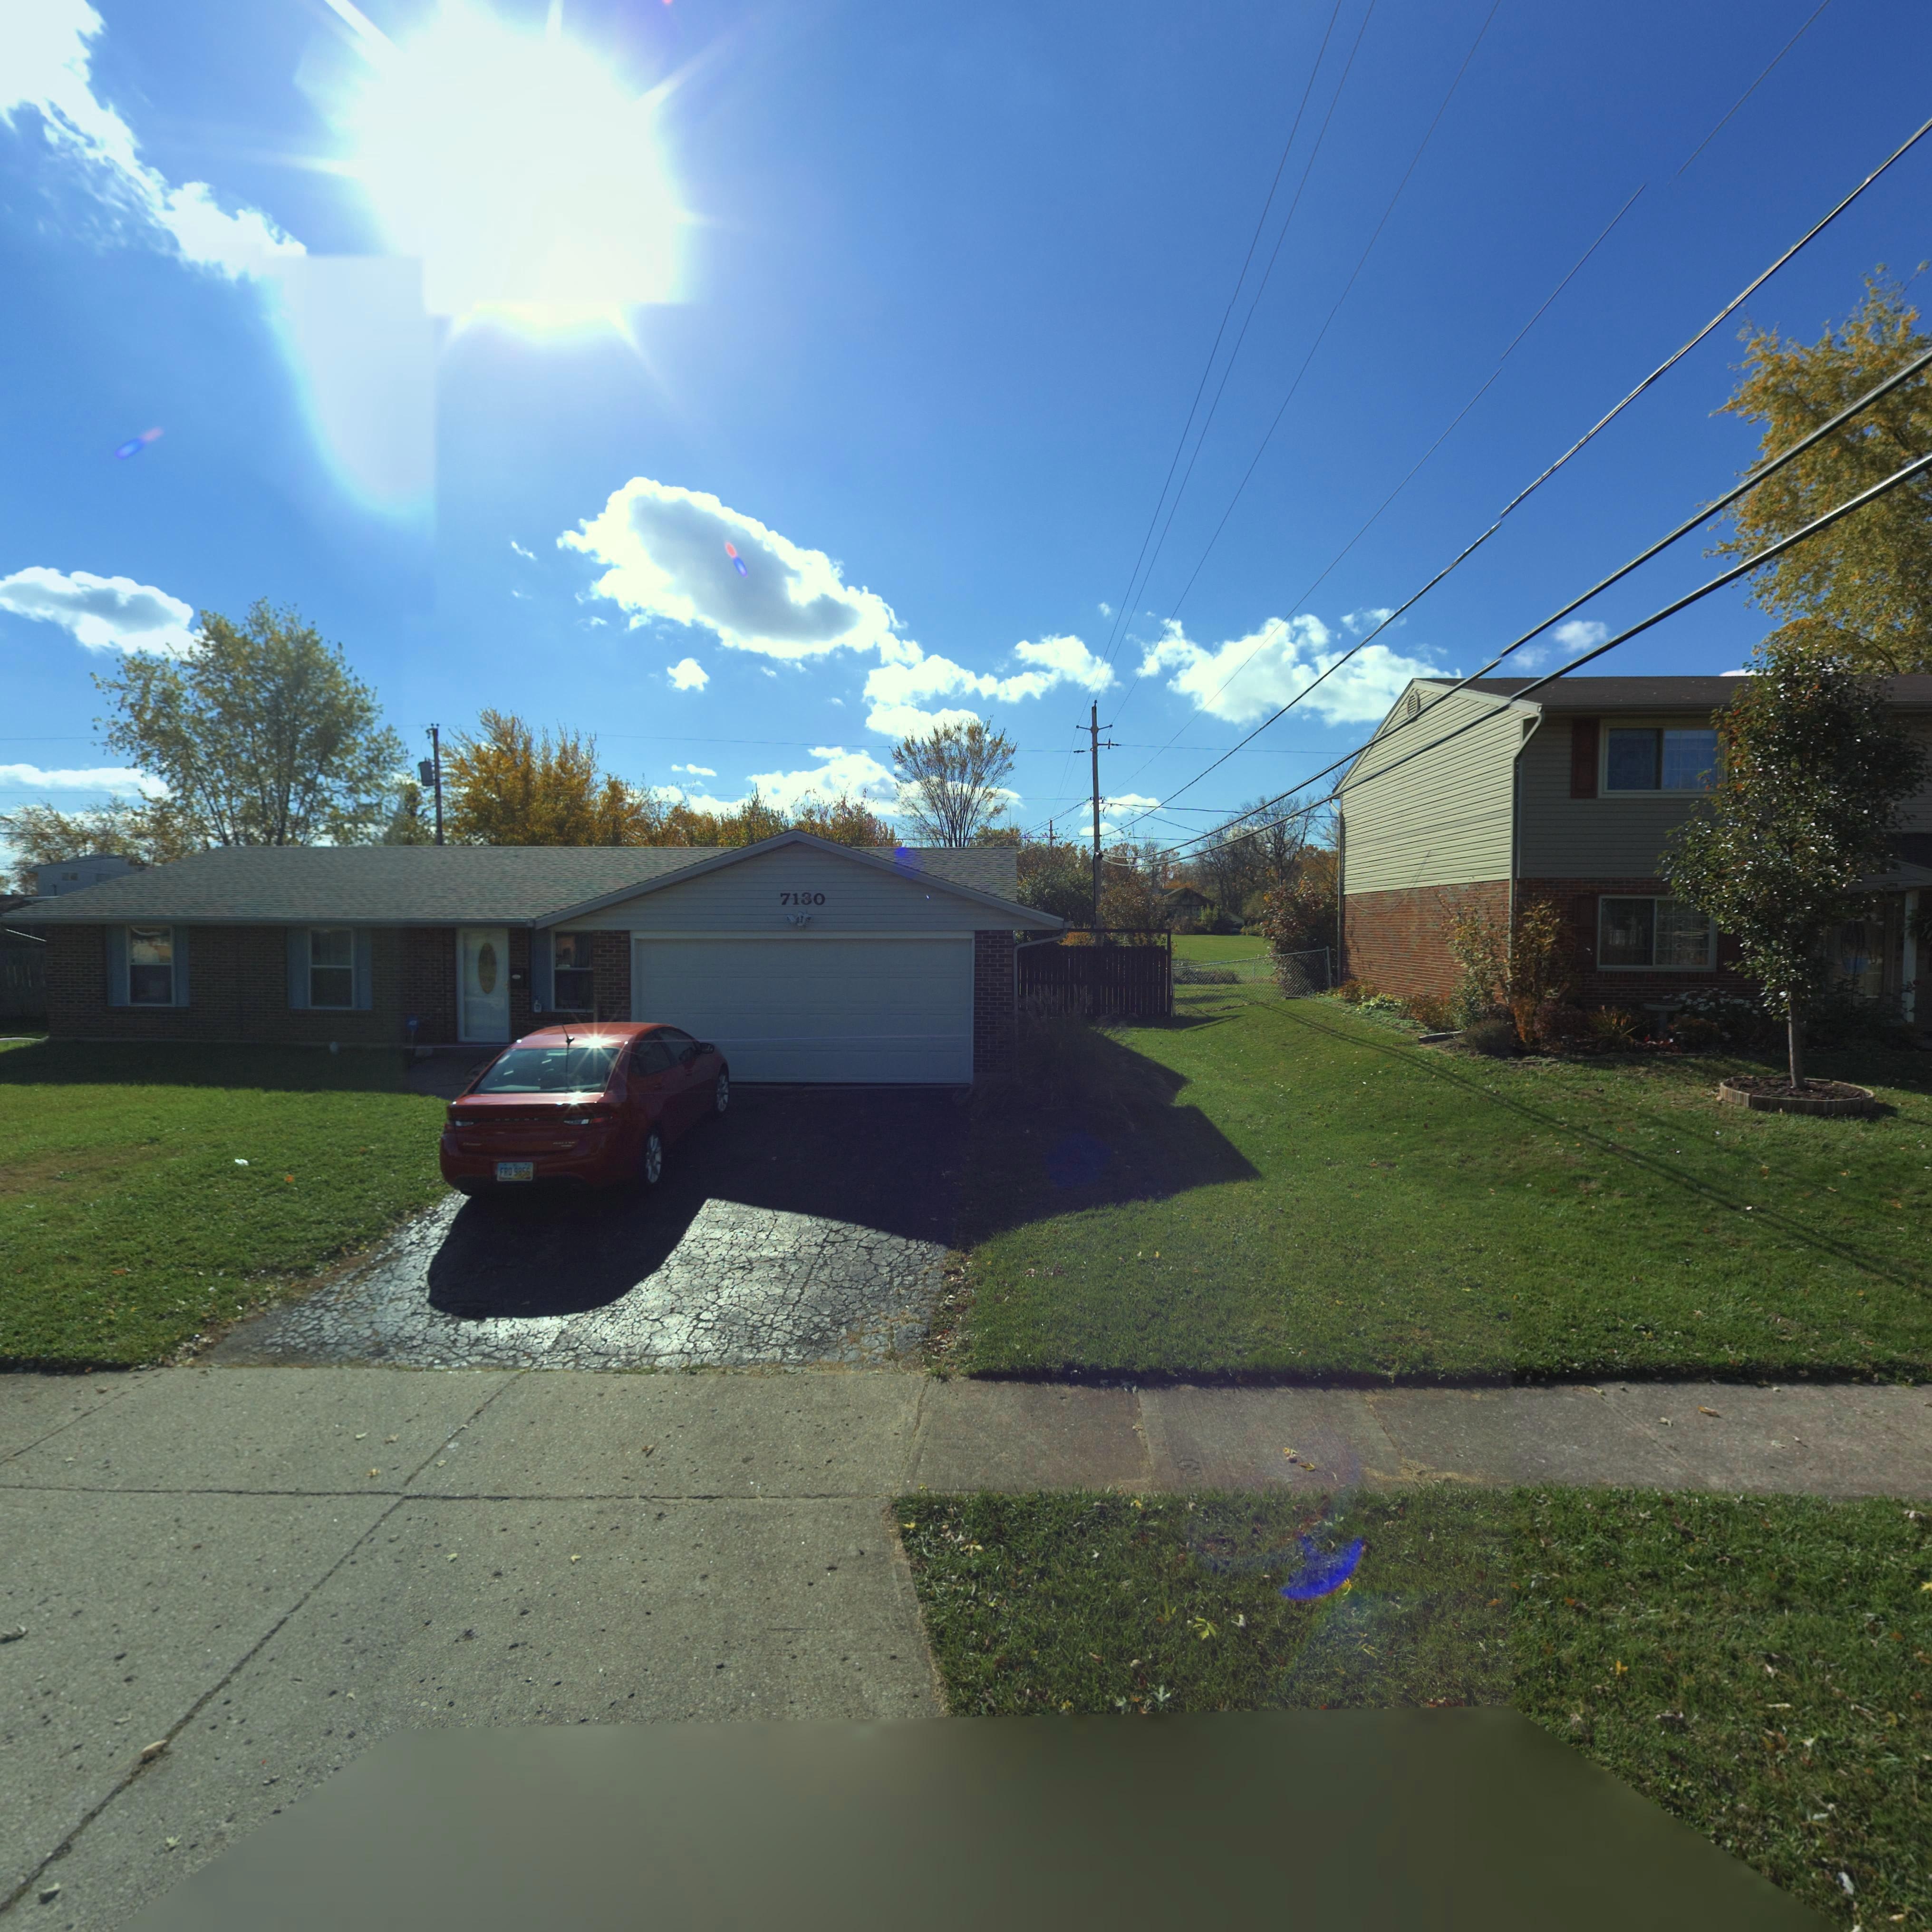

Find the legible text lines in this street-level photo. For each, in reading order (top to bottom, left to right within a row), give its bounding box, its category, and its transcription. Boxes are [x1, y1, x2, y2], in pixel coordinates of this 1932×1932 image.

[779, 891, 827, 907] StreetNumber: 7130